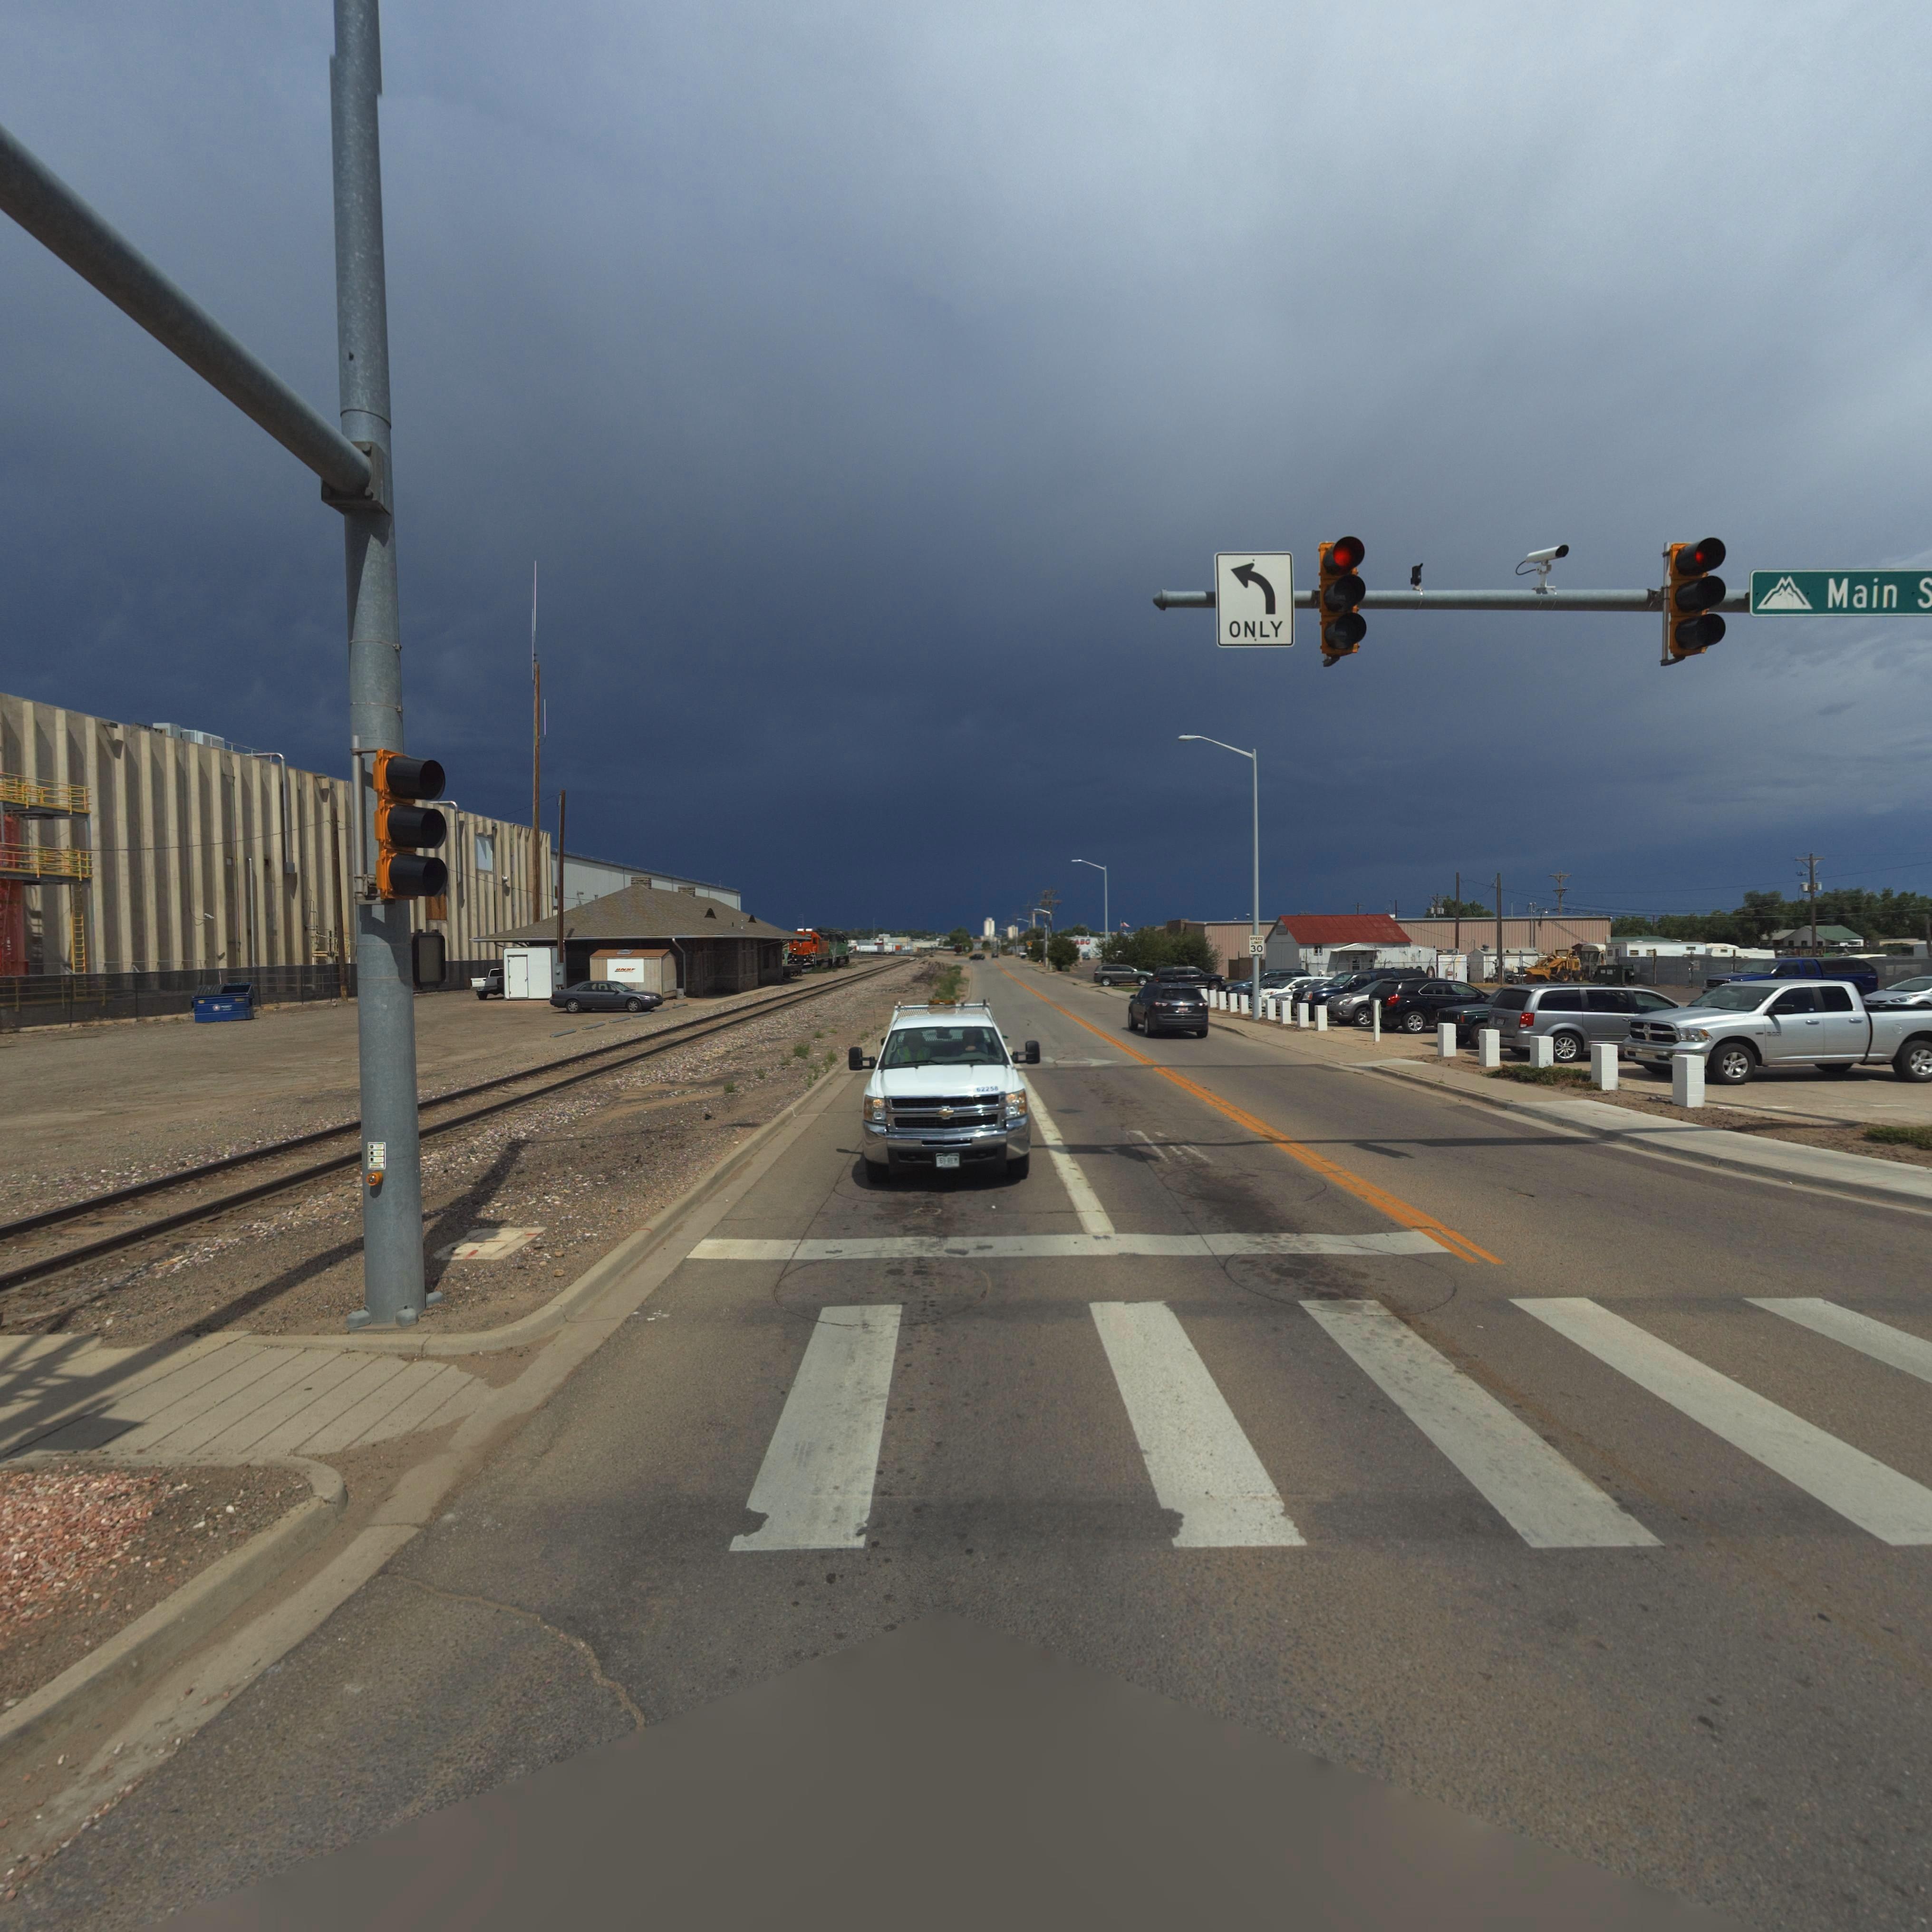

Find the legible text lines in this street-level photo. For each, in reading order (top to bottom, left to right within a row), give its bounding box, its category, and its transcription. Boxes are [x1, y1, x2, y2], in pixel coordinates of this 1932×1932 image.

[1827, 577, 1932, 609] StreetName: Main S
[1074, 938, 1090, 945] BusinessName: ABC
[615, 968, 636, 971] BusinessName: *NNF